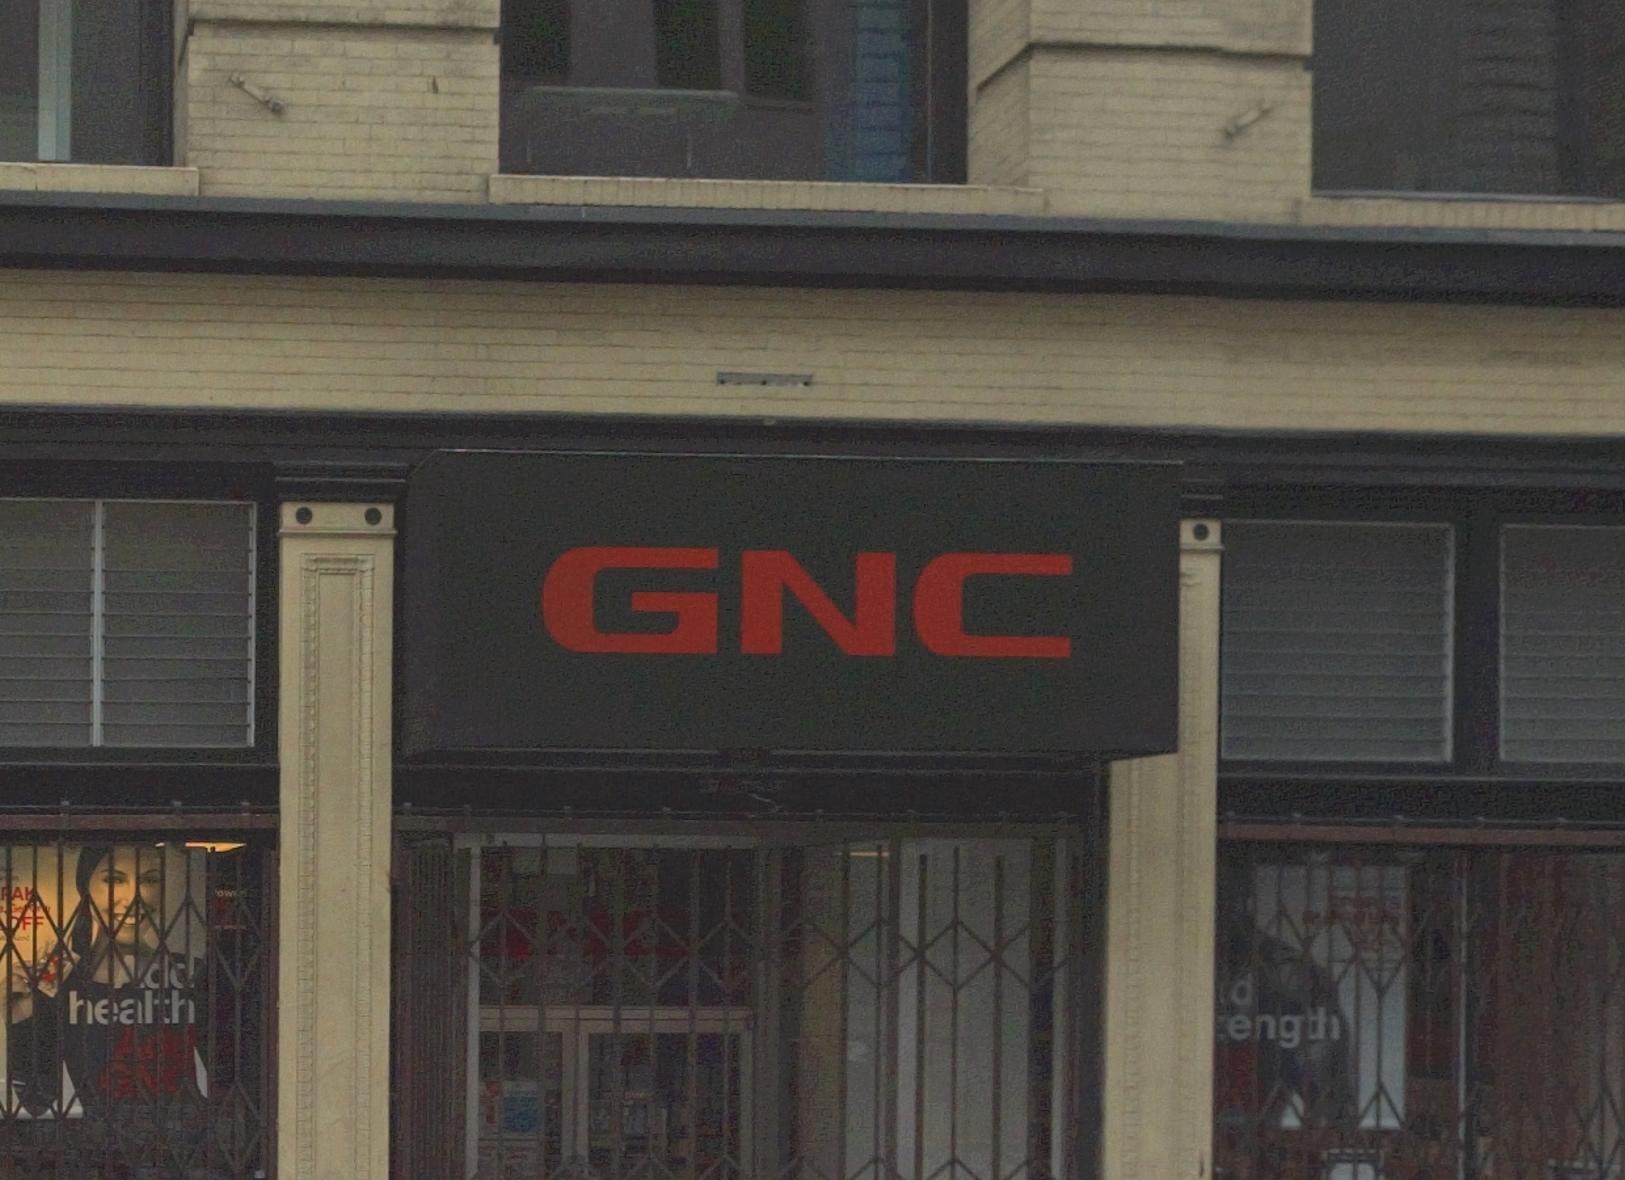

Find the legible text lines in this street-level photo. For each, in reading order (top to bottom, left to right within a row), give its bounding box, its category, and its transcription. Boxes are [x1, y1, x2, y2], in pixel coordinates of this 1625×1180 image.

[534, 543, 1078, 664] BusinessName: GNC
[142, 987, 155, 1027] None: L
[1224, 1011, 1255, 1045] None: e
[1276, 1011, 1308, 1052] None: g